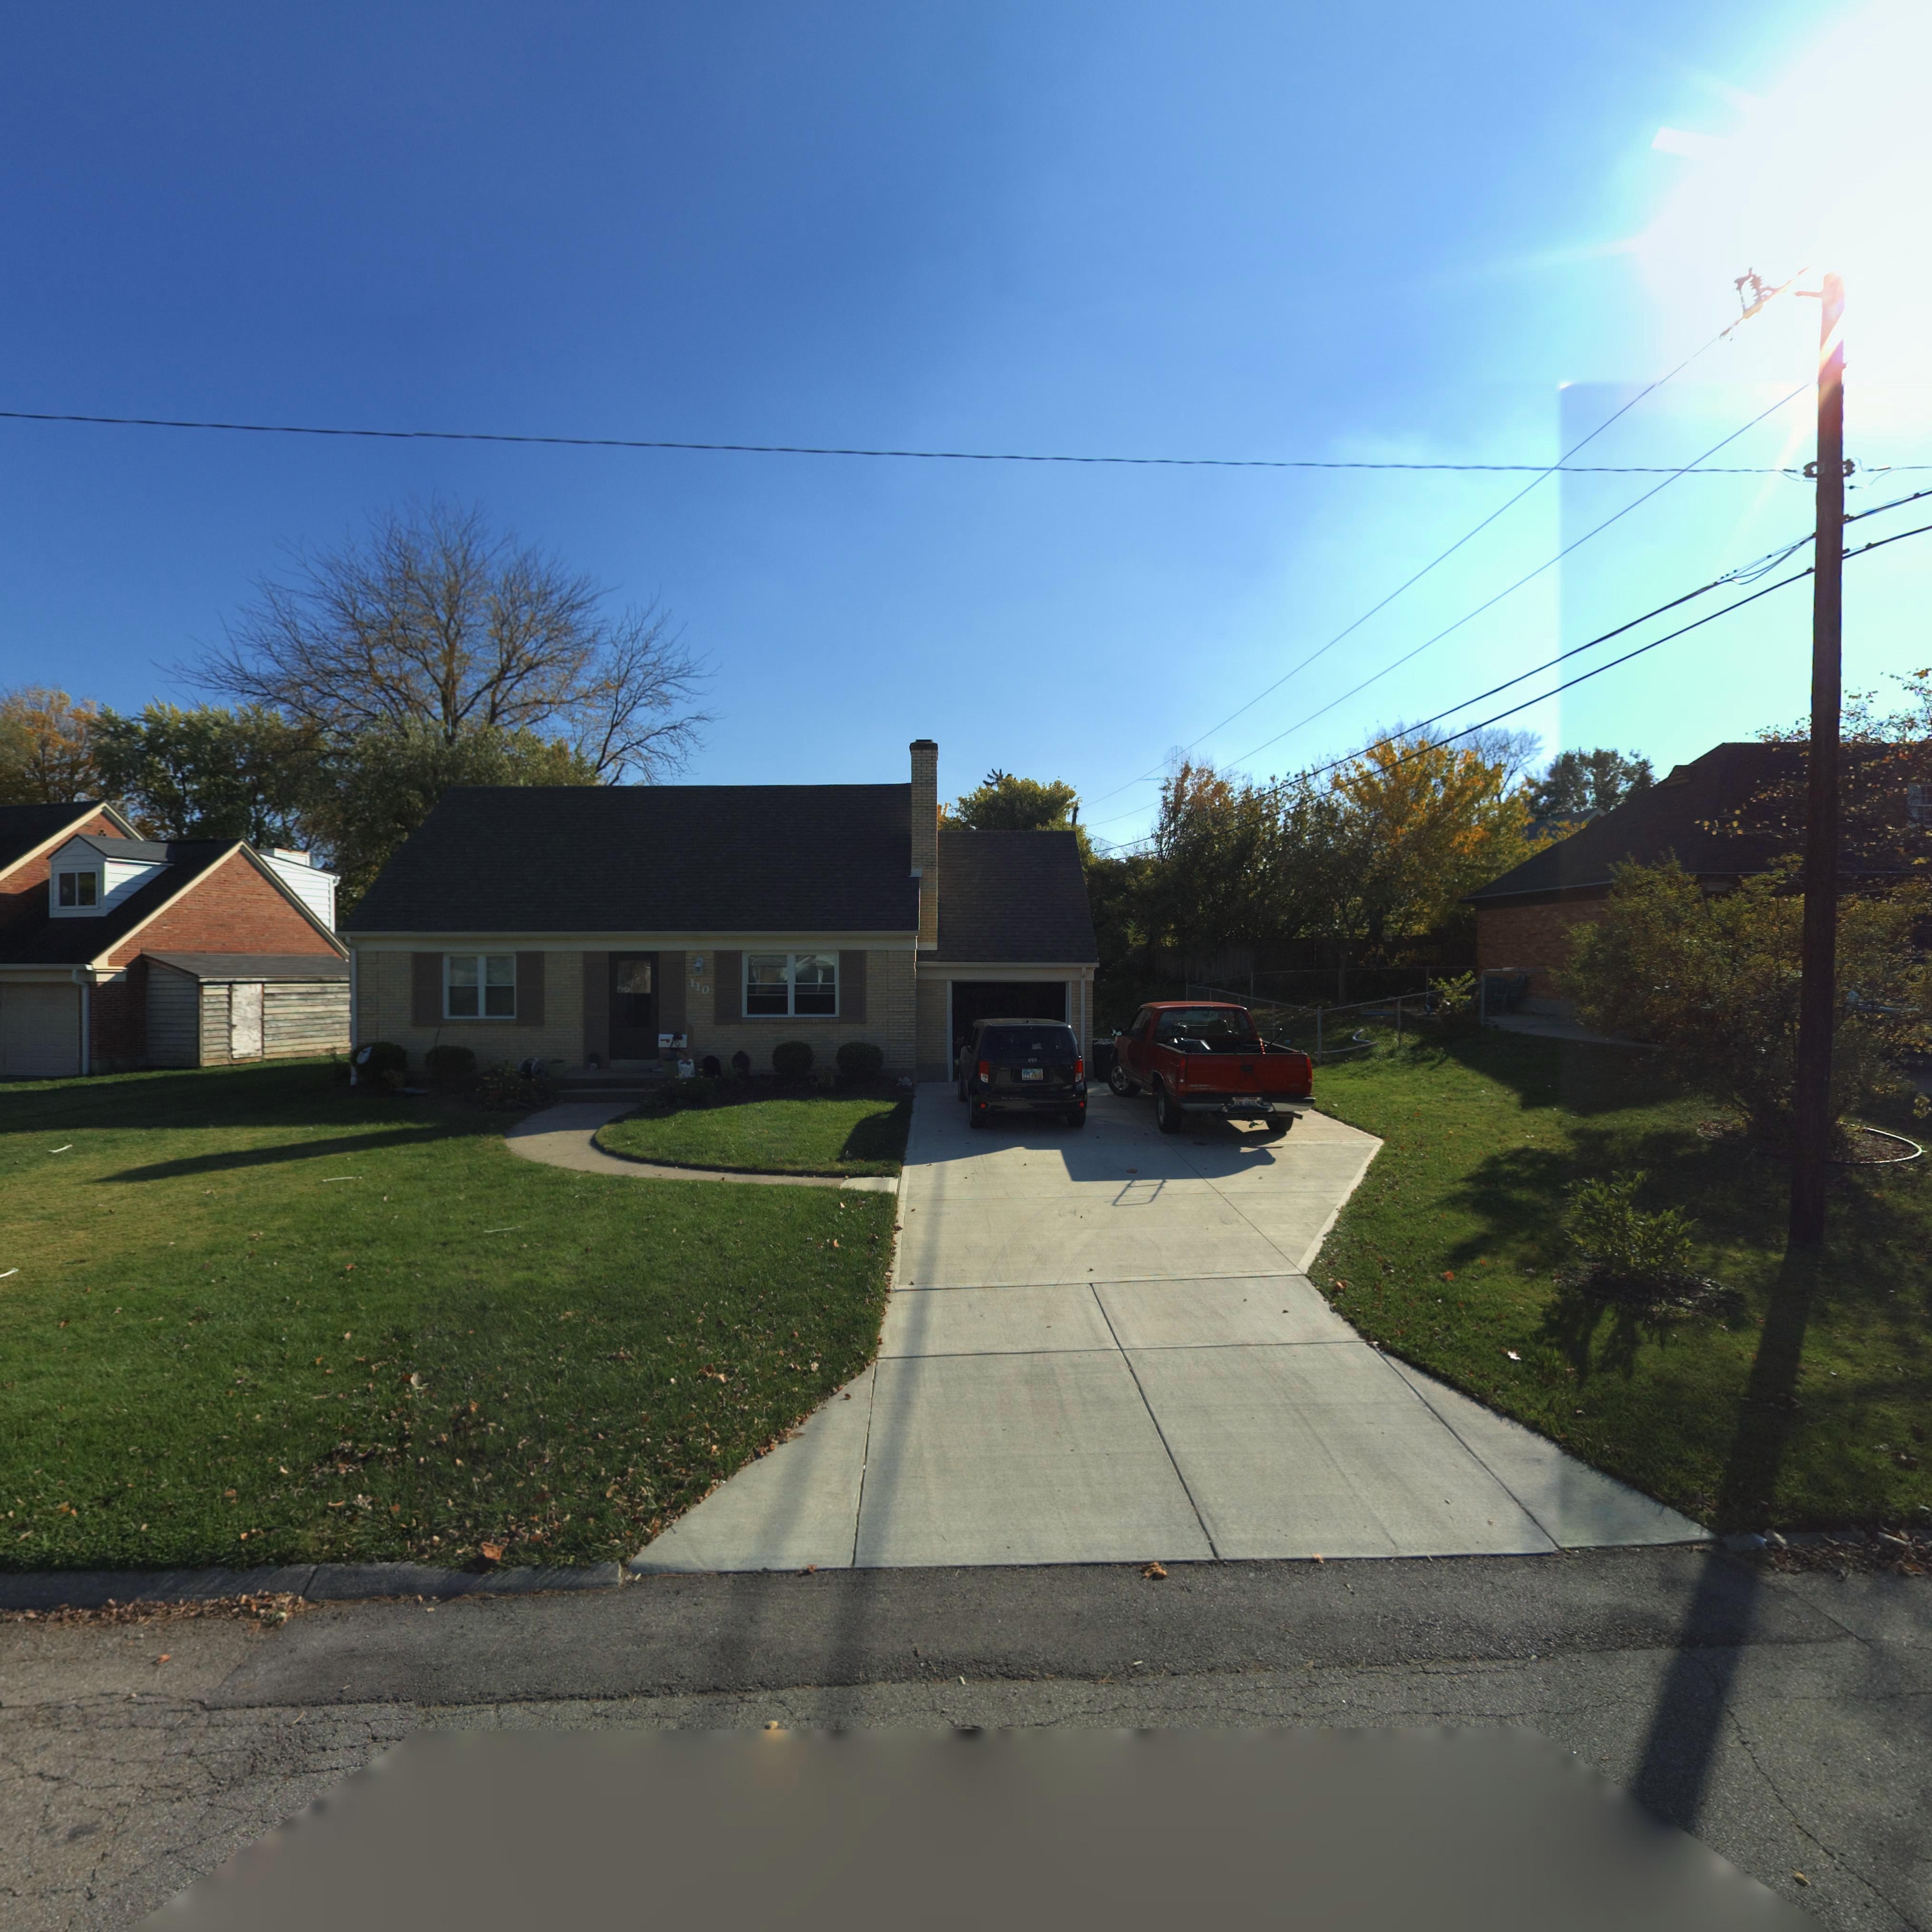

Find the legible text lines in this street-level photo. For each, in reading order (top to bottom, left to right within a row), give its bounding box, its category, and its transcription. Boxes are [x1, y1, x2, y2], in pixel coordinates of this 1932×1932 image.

[689, 977, 711, 996] StreetNumber: 110